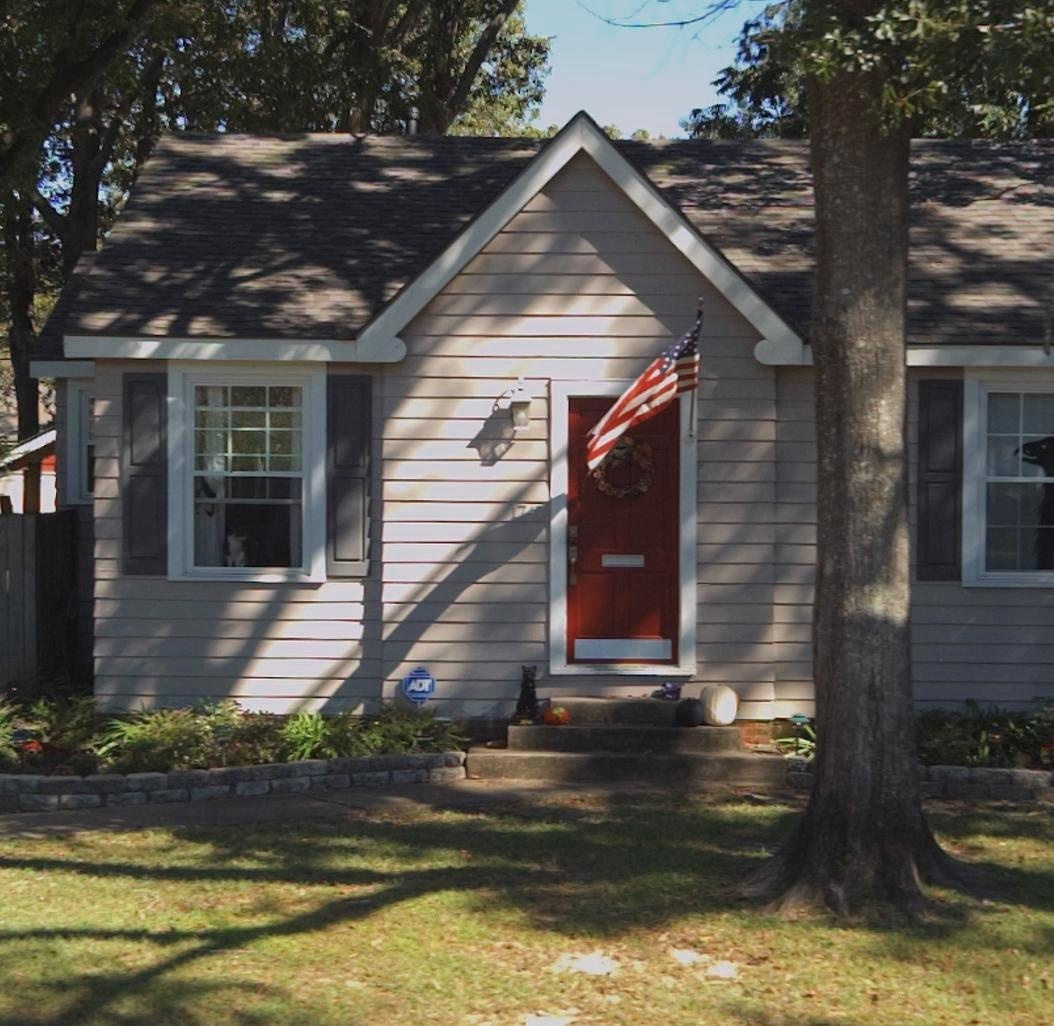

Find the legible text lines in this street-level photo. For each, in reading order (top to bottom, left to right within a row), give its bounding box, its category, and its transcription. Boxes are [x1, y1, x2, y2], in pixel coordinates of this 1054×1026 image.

[509, 503, 546, 520] StreetNumber: 1747
[406, 678, 433, 692] None: ADT